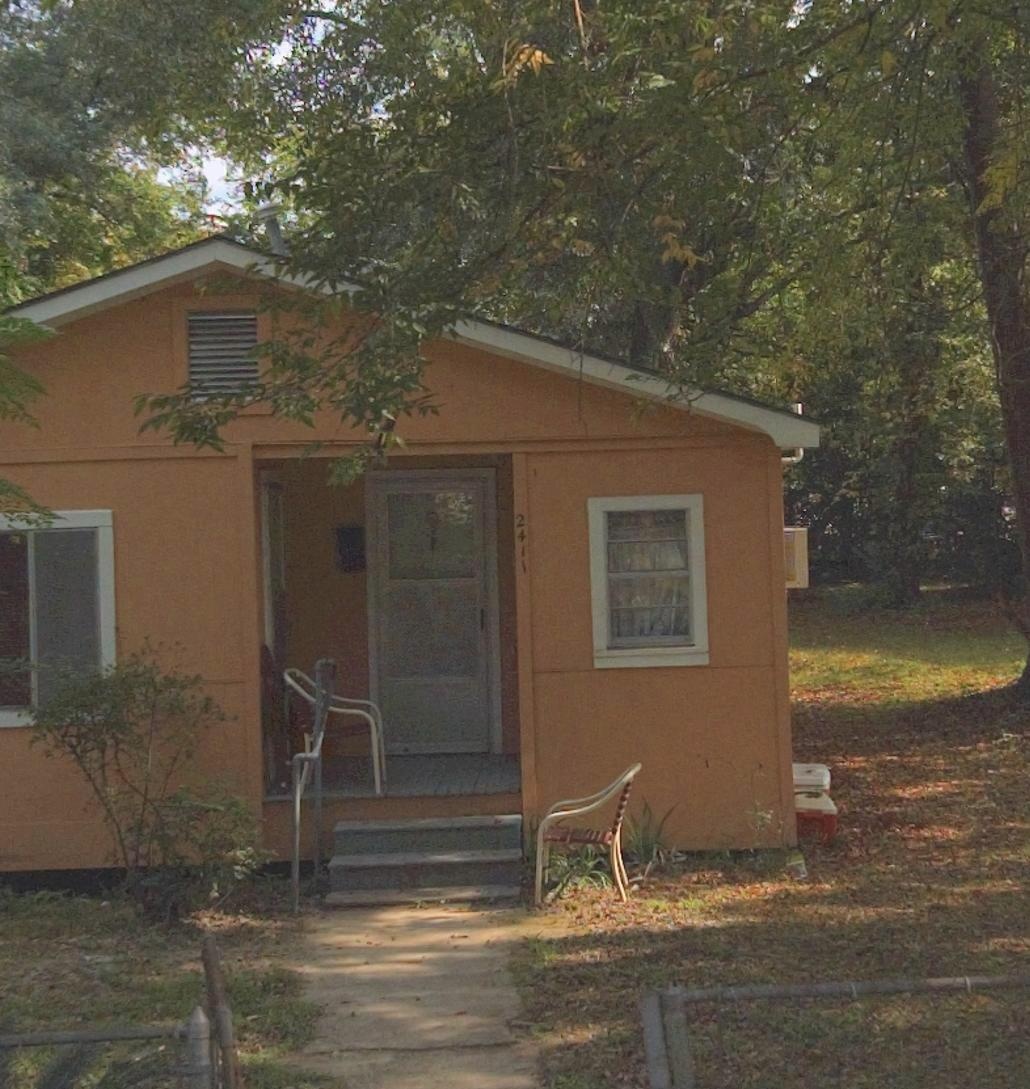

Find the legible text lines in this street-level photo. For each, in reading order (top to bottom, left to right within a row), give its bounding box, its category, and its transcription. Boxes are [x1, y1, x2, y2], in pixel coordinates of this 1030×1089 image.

[513, 512, 530, 576] StreetNumber: 2411